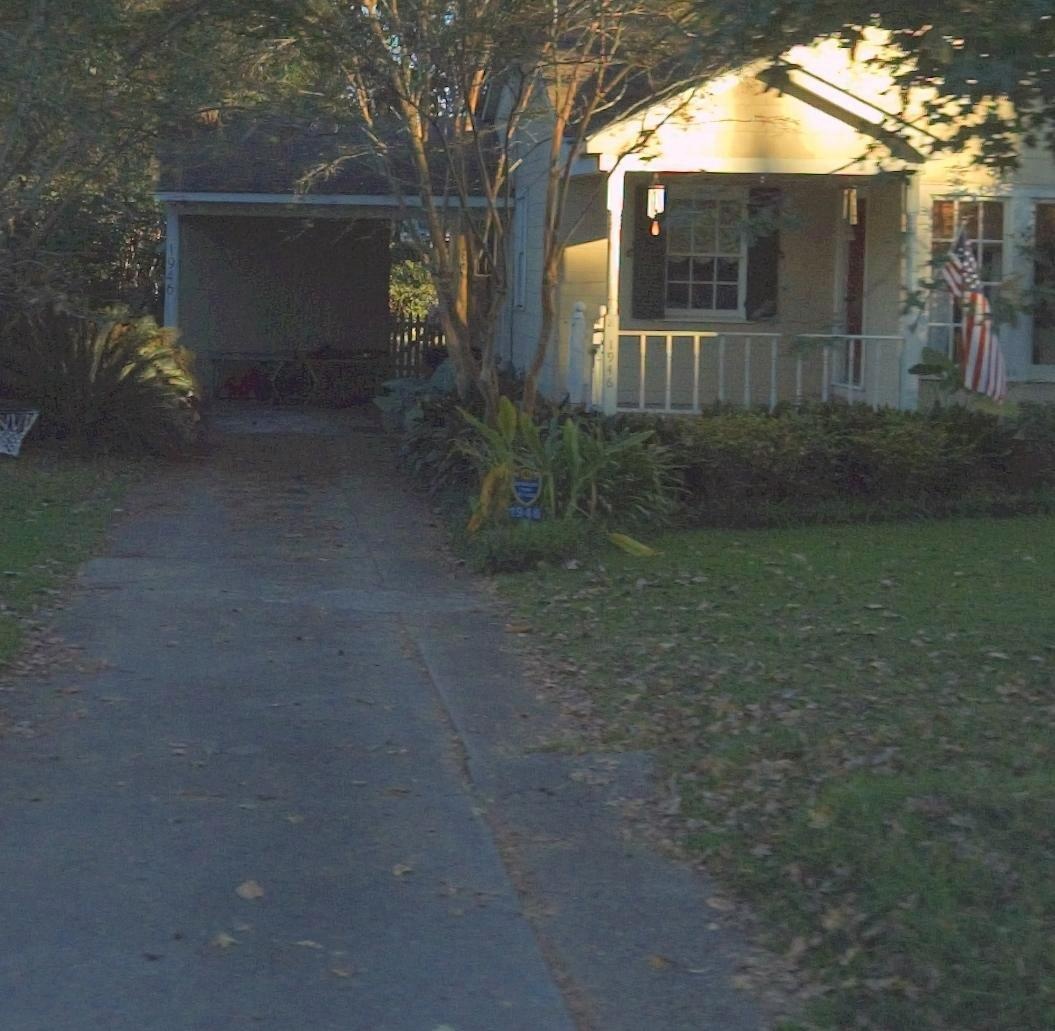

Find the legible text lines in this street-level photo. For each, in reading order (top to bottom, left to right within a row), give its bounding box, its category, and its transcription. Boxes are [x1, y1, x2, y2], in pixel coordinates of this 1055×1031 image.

[604, 337, 616, 390] StreetNumber: 1946
[508, 506, 542, 520] StreetNumber: 194*